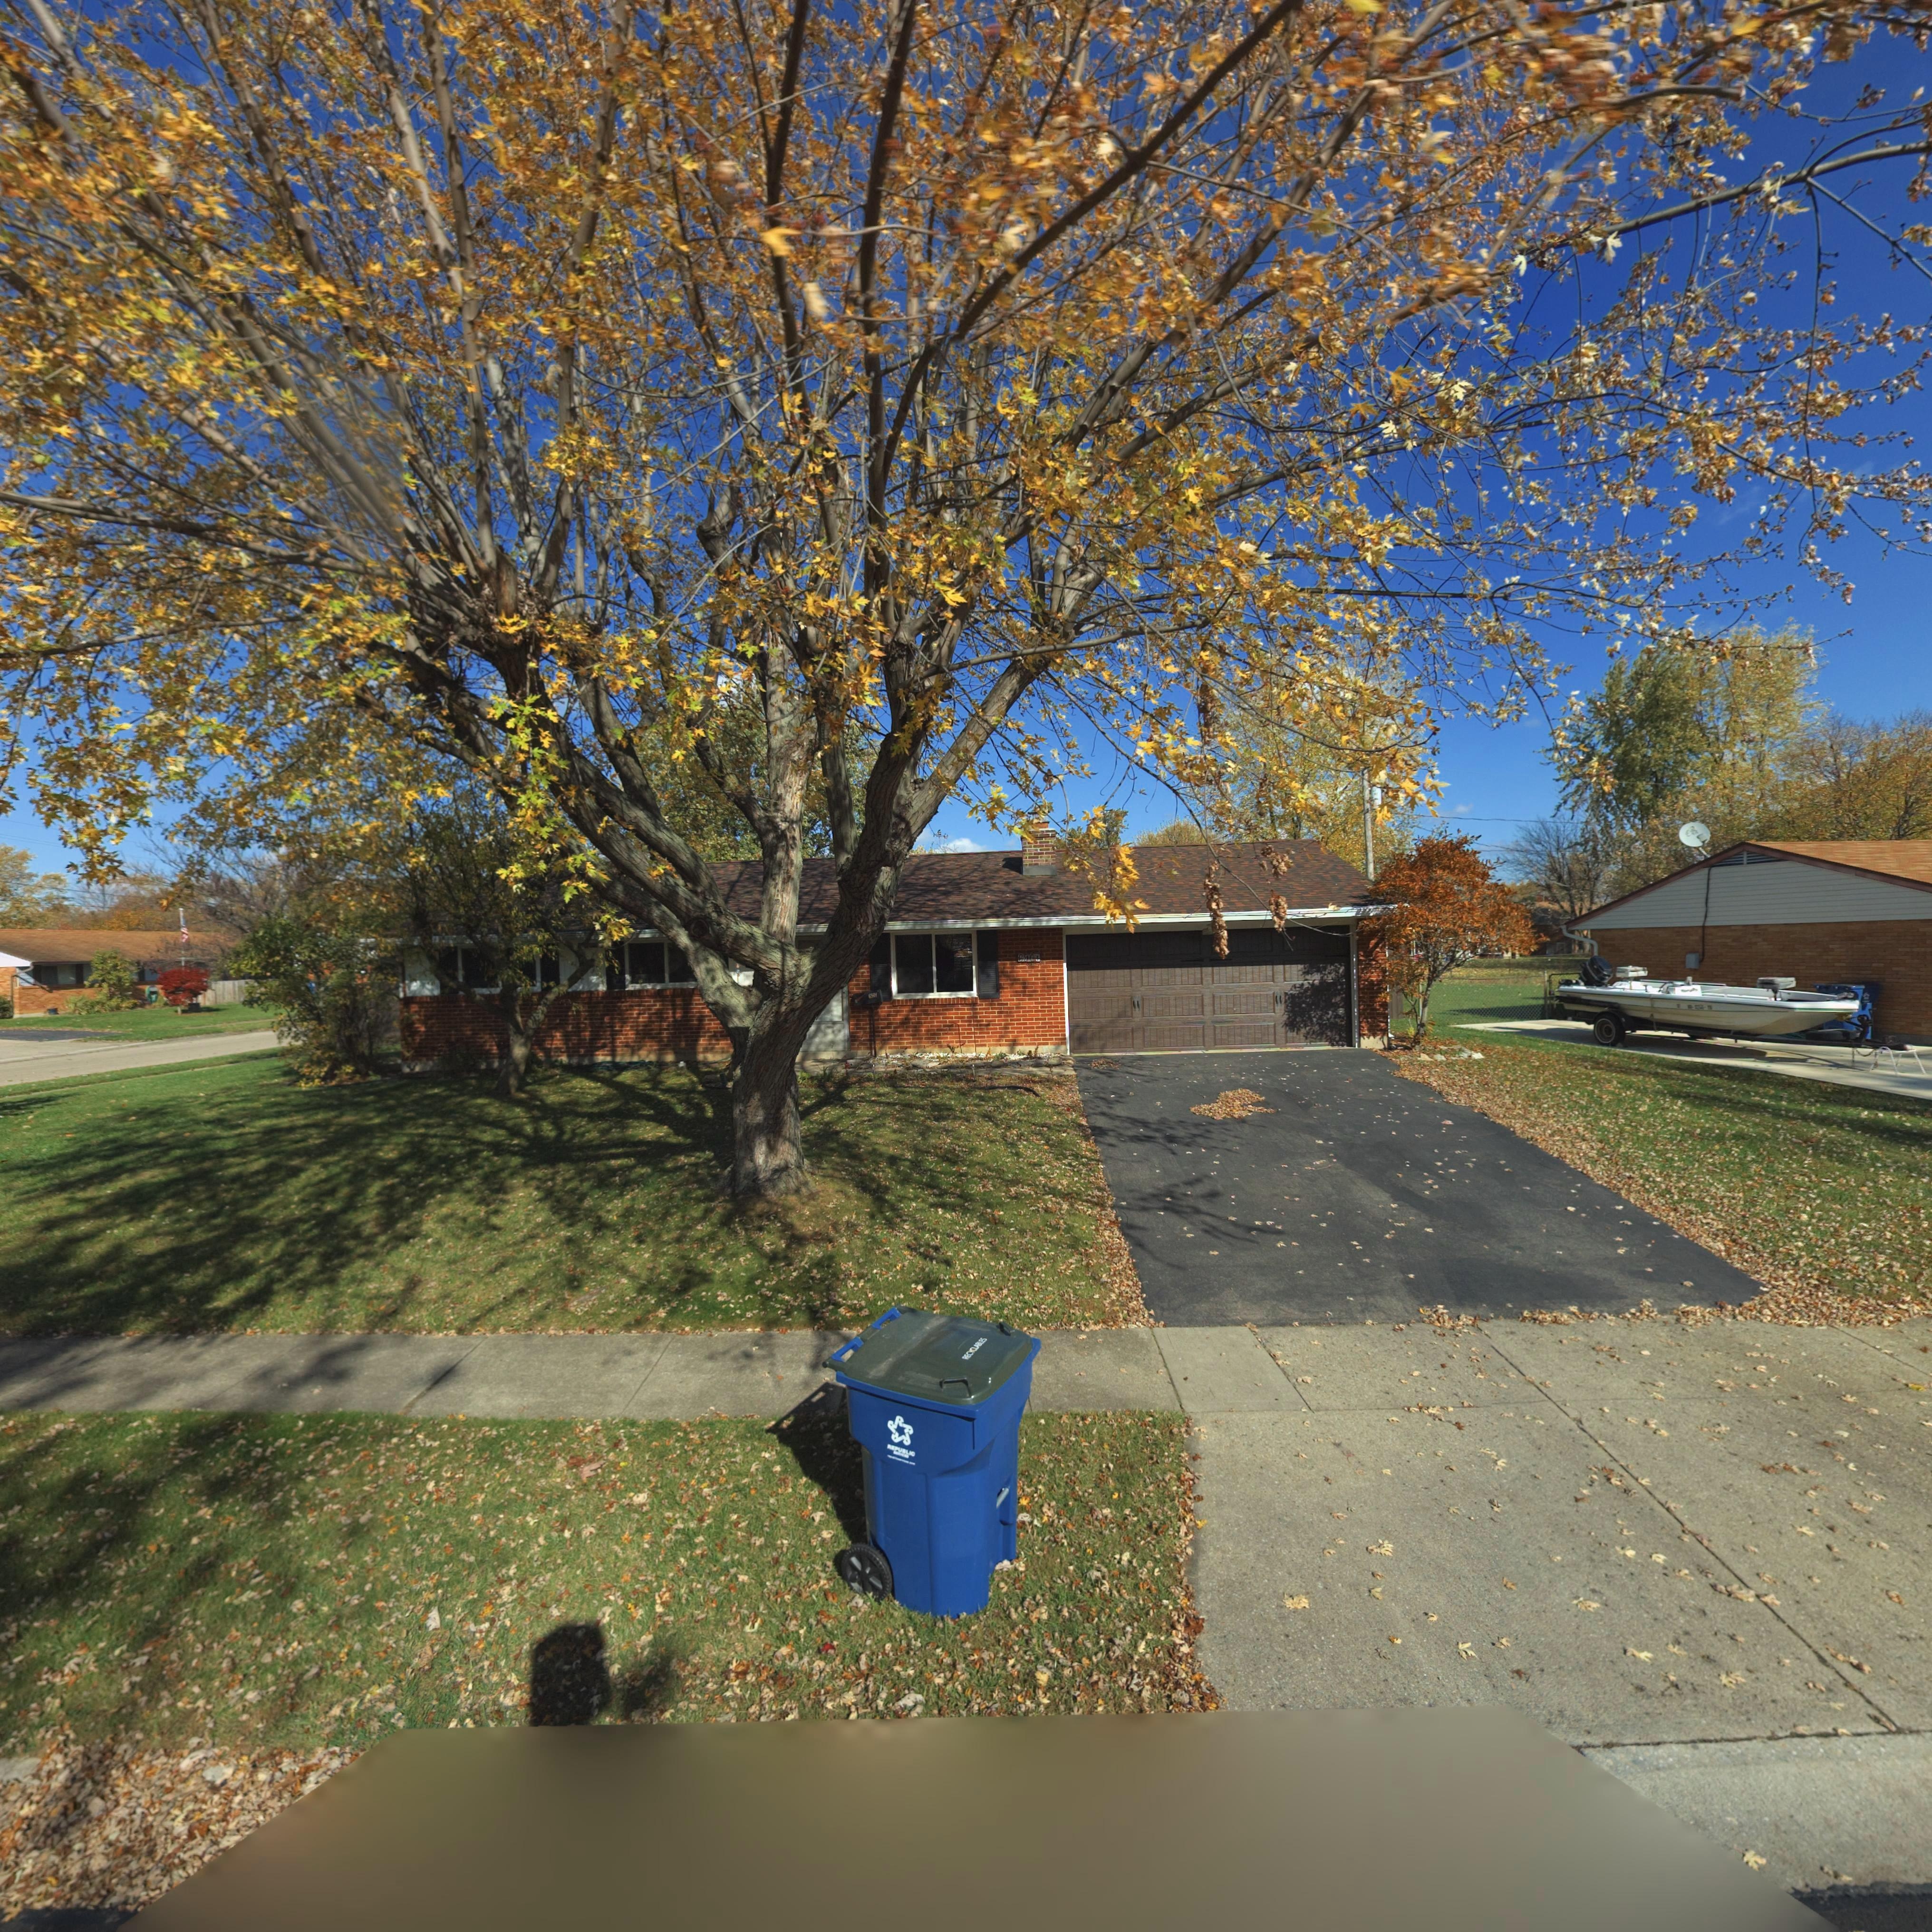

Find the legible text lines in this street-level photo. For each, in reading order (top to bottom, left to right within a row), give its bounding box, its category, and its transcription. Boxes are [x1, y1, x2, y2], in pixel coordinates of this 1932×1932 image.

[1017, 953, 1039, 963] StreetNumber: 690*